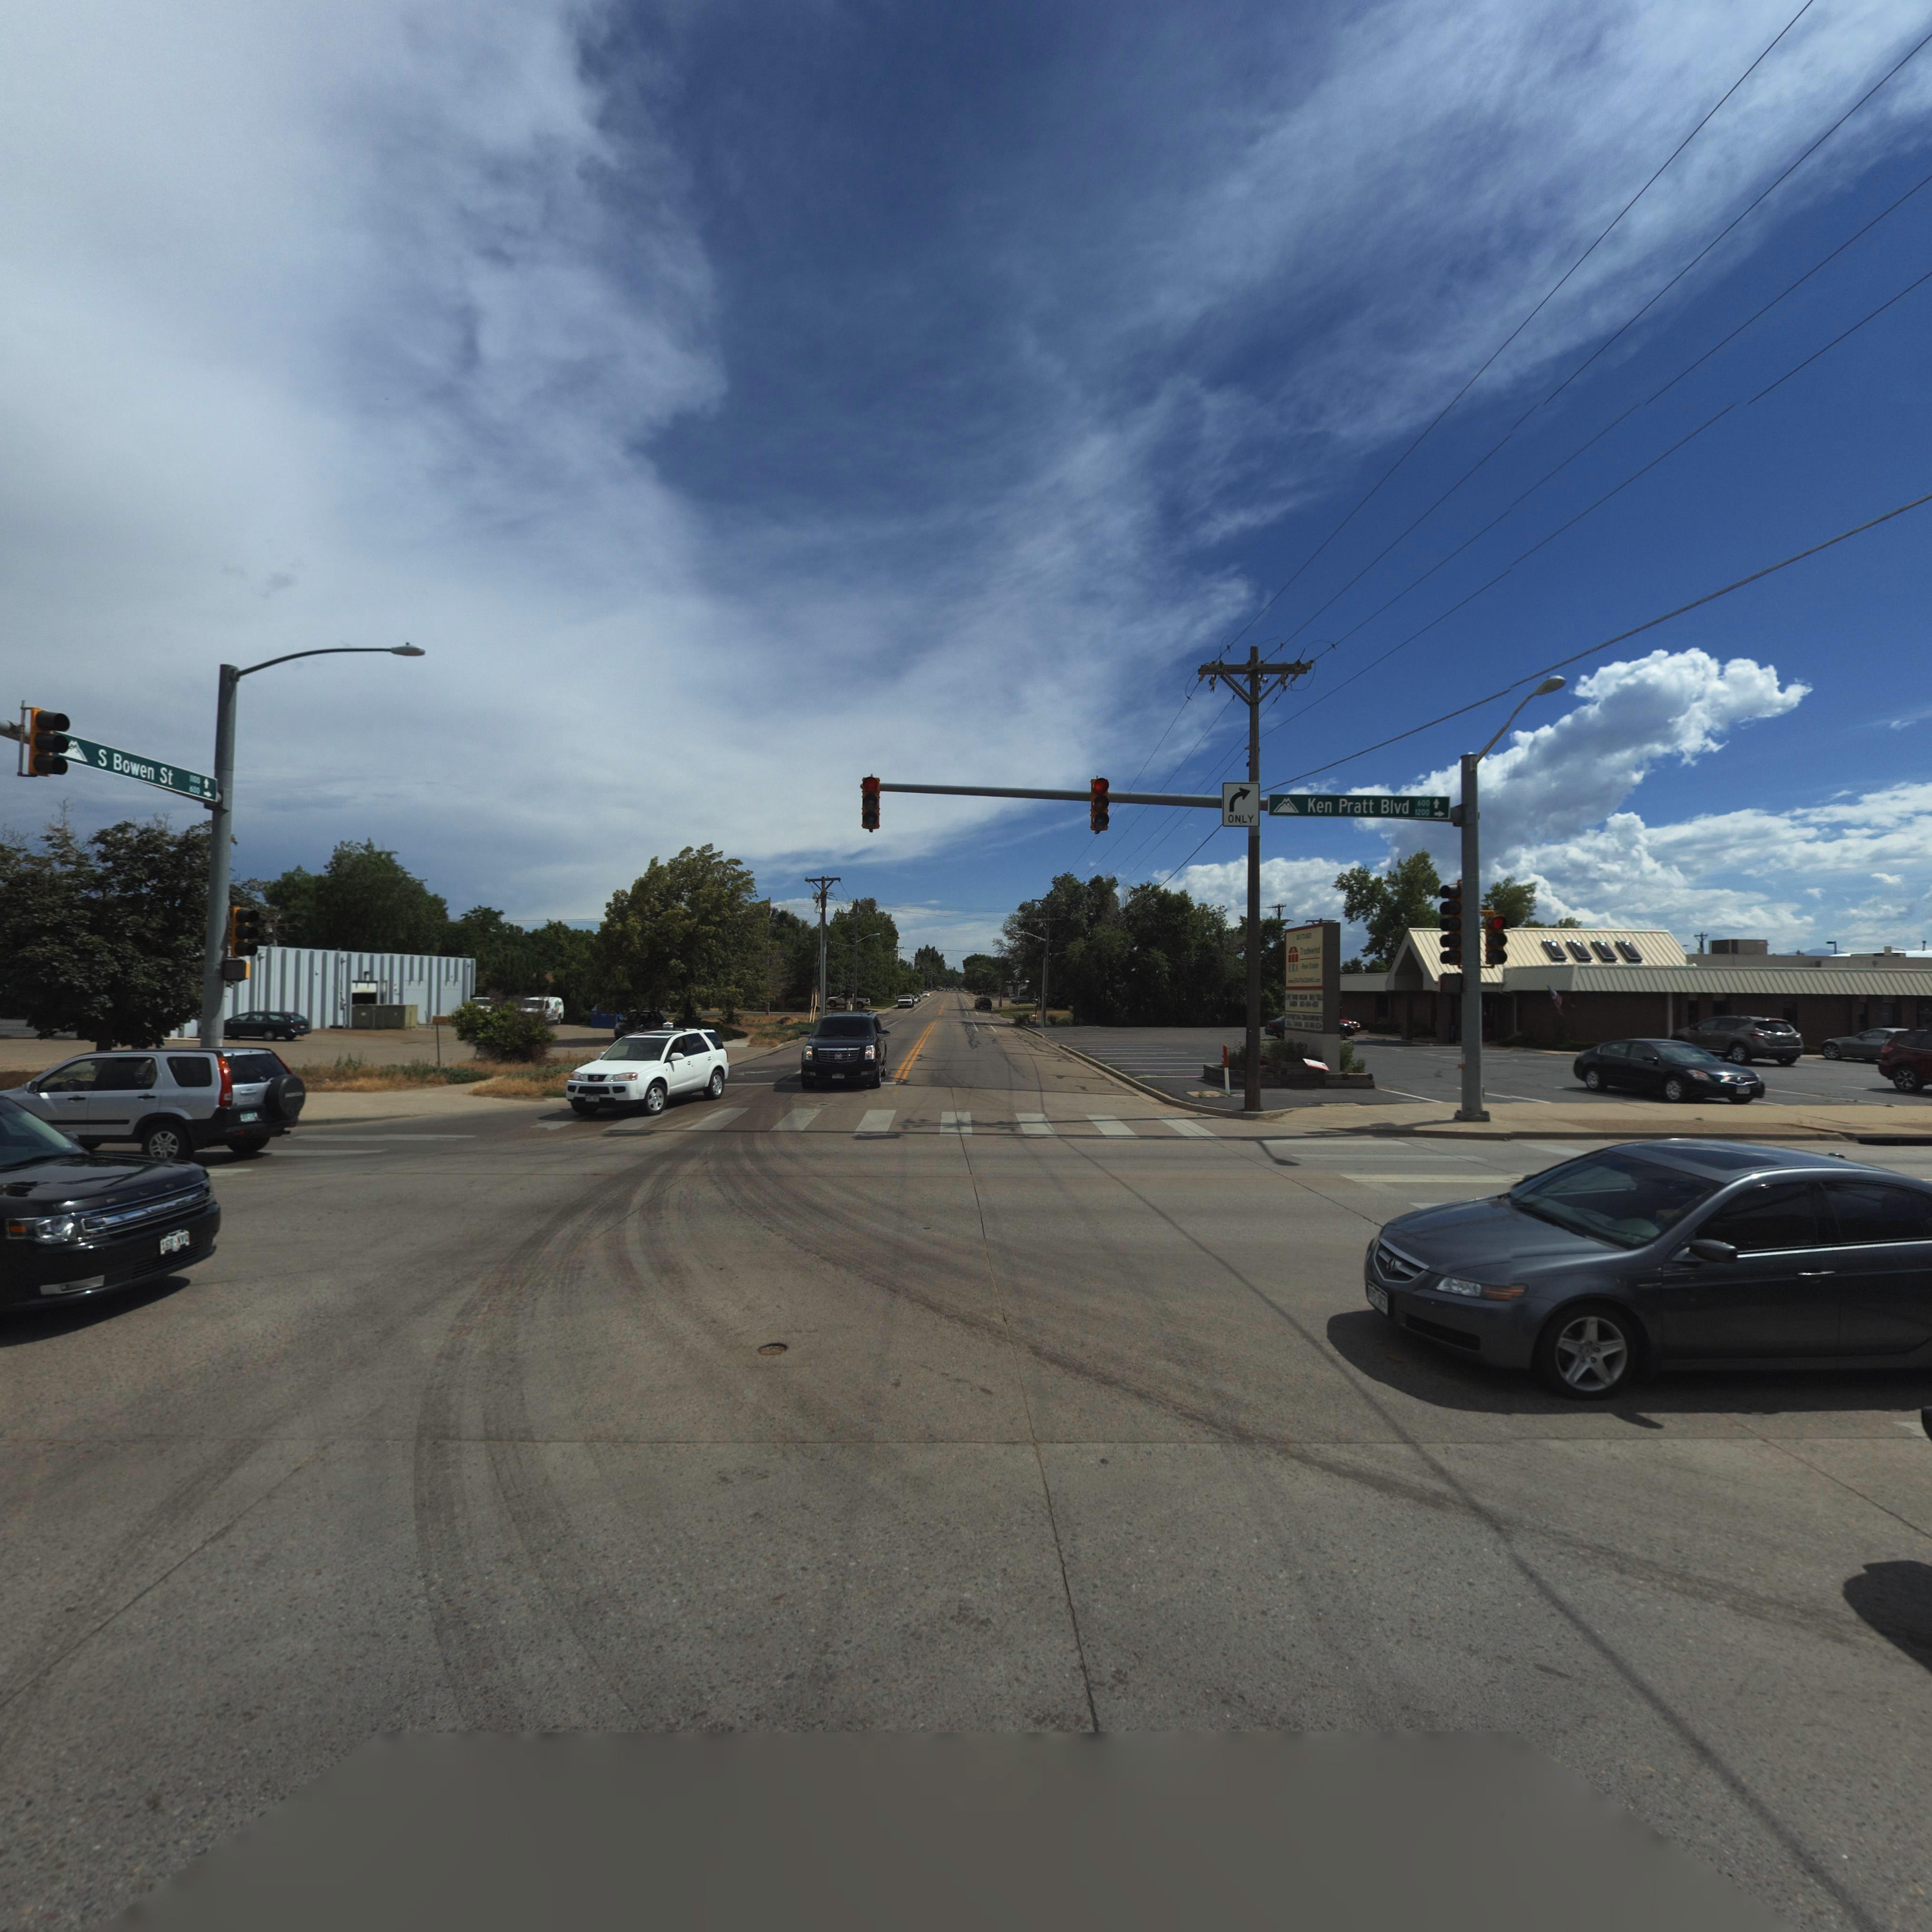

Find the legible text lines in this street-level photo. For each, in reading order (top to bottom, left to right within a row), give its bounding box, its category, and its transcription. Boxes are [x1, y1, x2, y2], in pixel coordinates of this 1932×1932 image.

[97, 748, 174, 786] StreetName: S Bowen St
[189, 774, 201, 784] StreetNumberRange: 1100
[188, 784, 213, 798] StreetNumberRange: 600 ->
[1307, 797, 1409, 814] StreetName: Ken Pratt Blvd
[1416, 799, 1430, 807] StreetNumberRange: 600
[1414, 809, 1445, 817] StreetNumberRange: 1200 ->
[1299, 944, 1321, 955] BusinessName: Trade*ind
[1288, 963, 1299, 972] BusinessName: ERA
[1301, 961, 1320, 969] BusinessName: R*** E*****